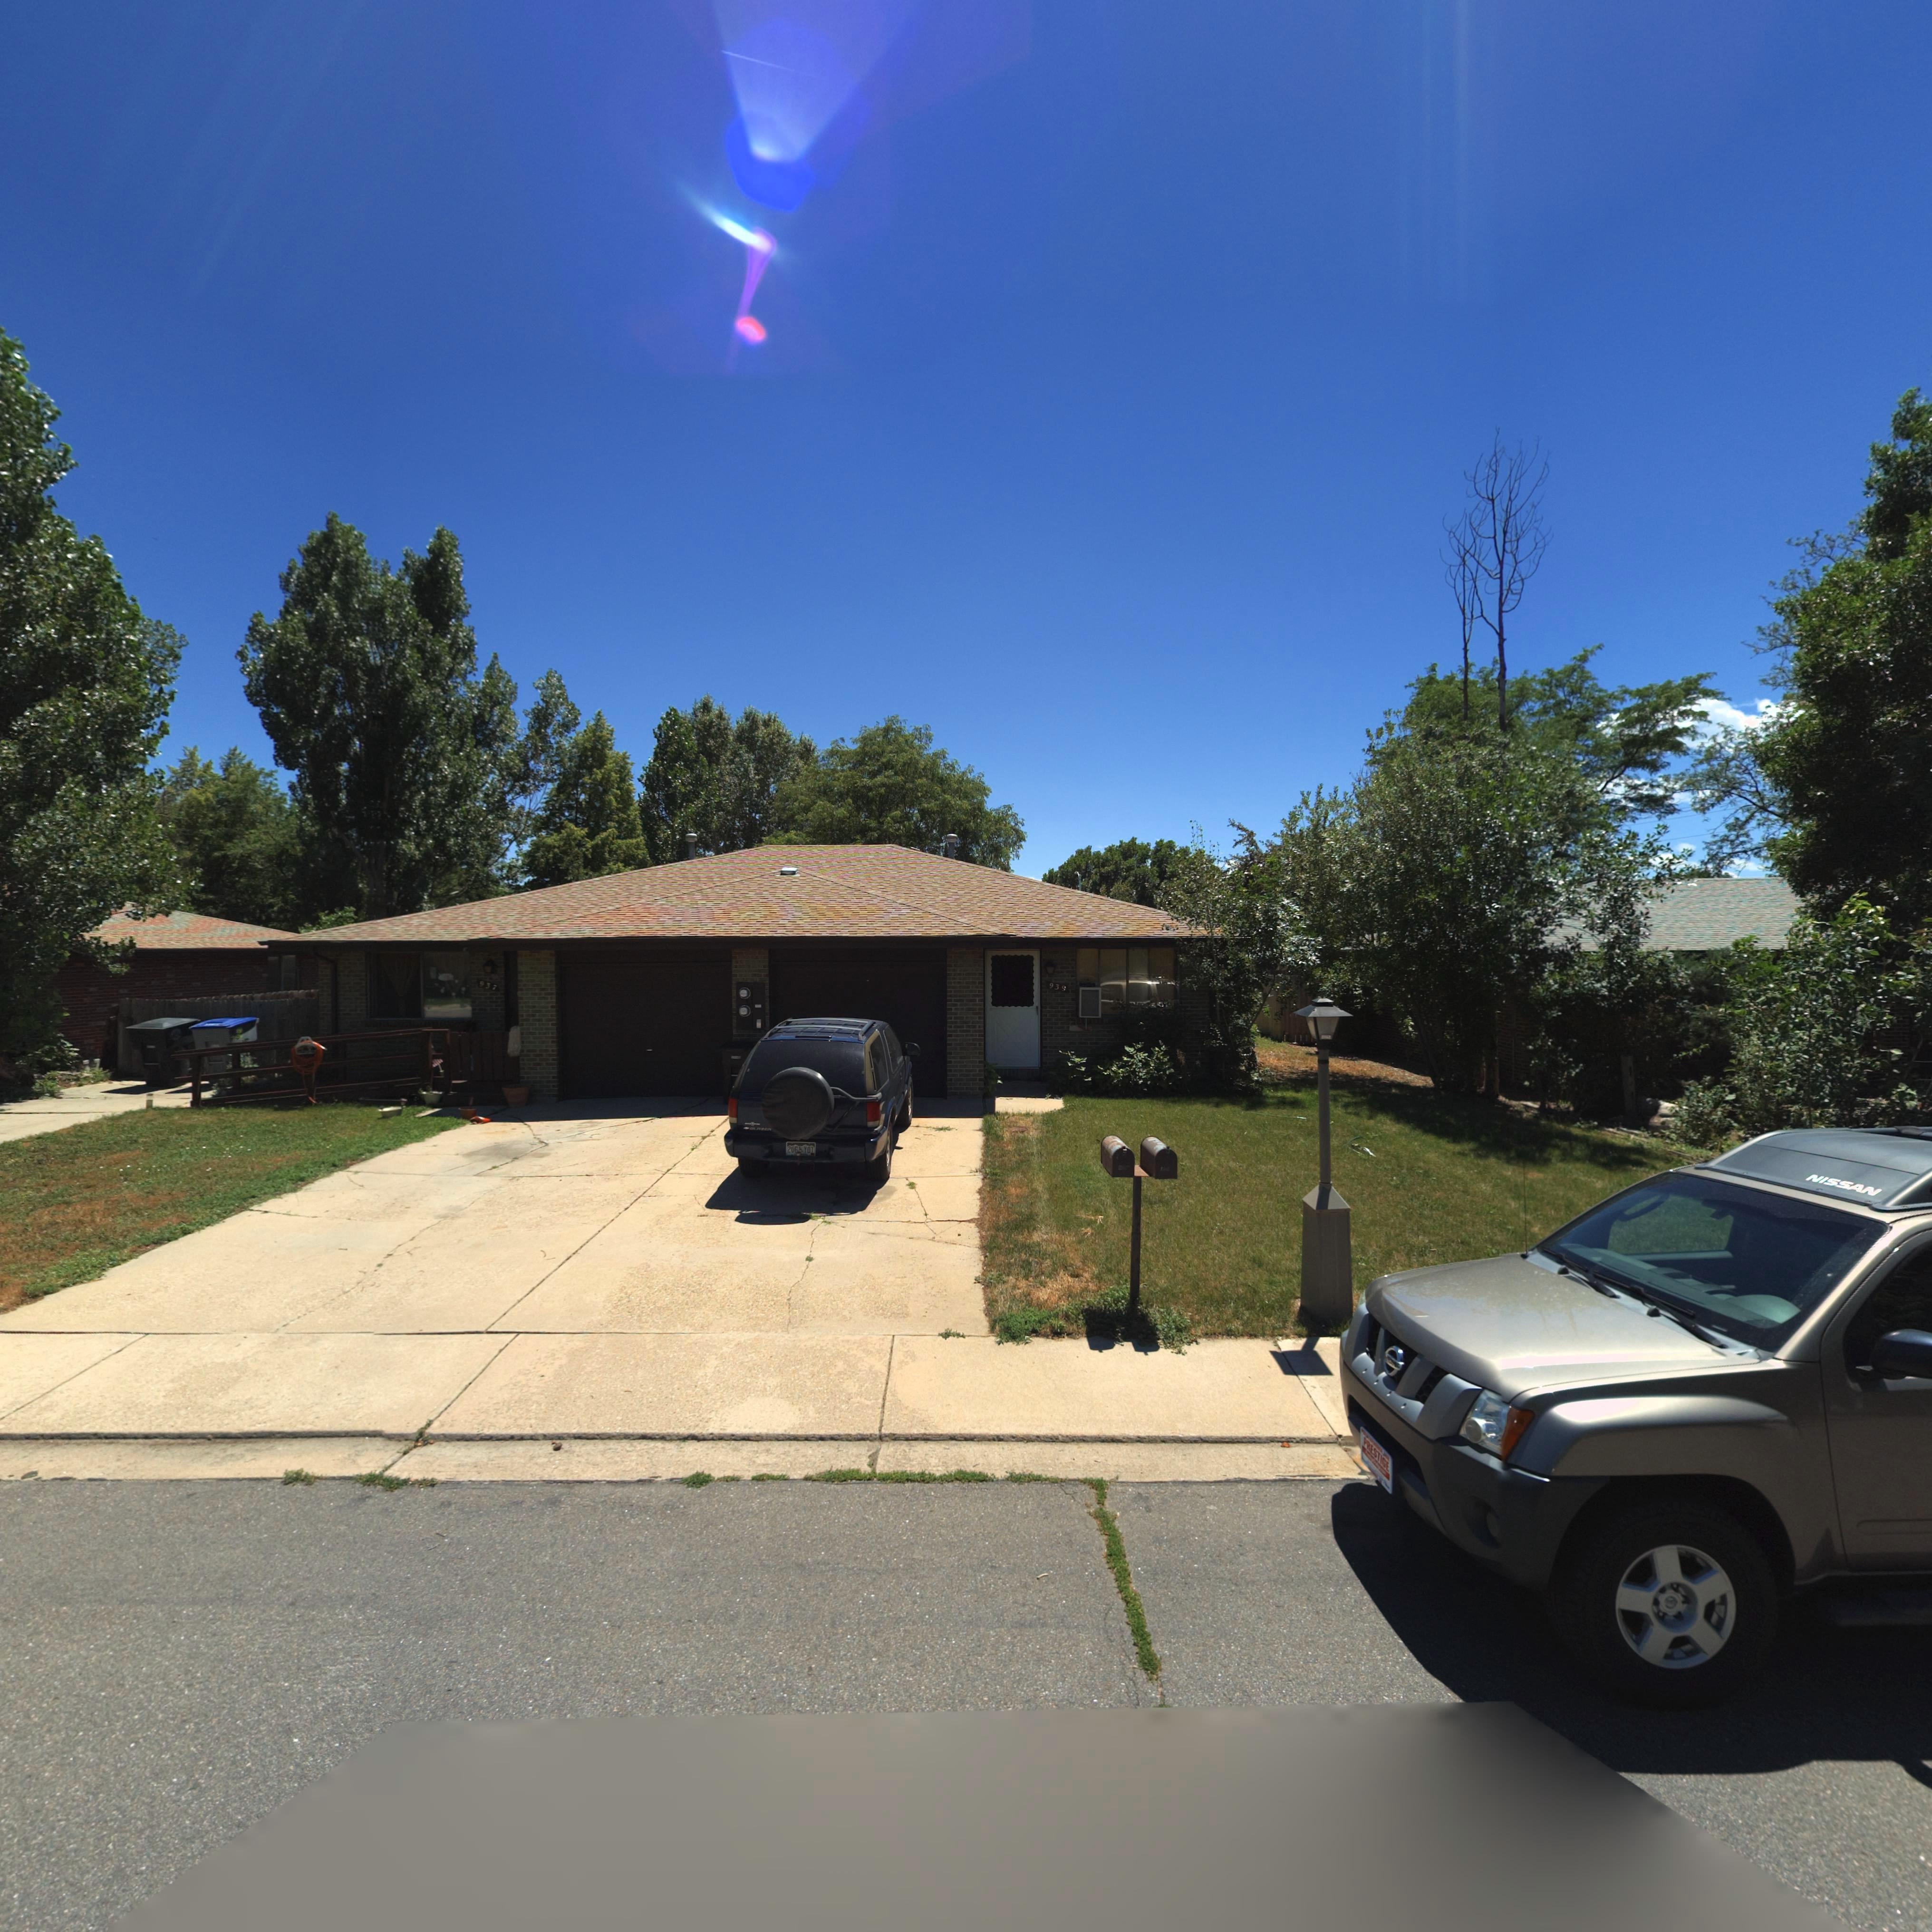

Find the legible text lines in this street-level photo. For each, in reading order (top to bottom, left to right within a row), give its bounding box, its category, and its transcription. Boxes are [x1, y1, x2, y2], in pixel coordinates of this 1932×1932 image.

[479, 980, 497, 990] StreetNumber: 937
[1049, 982, 1066, 992] StreetNumber: 939